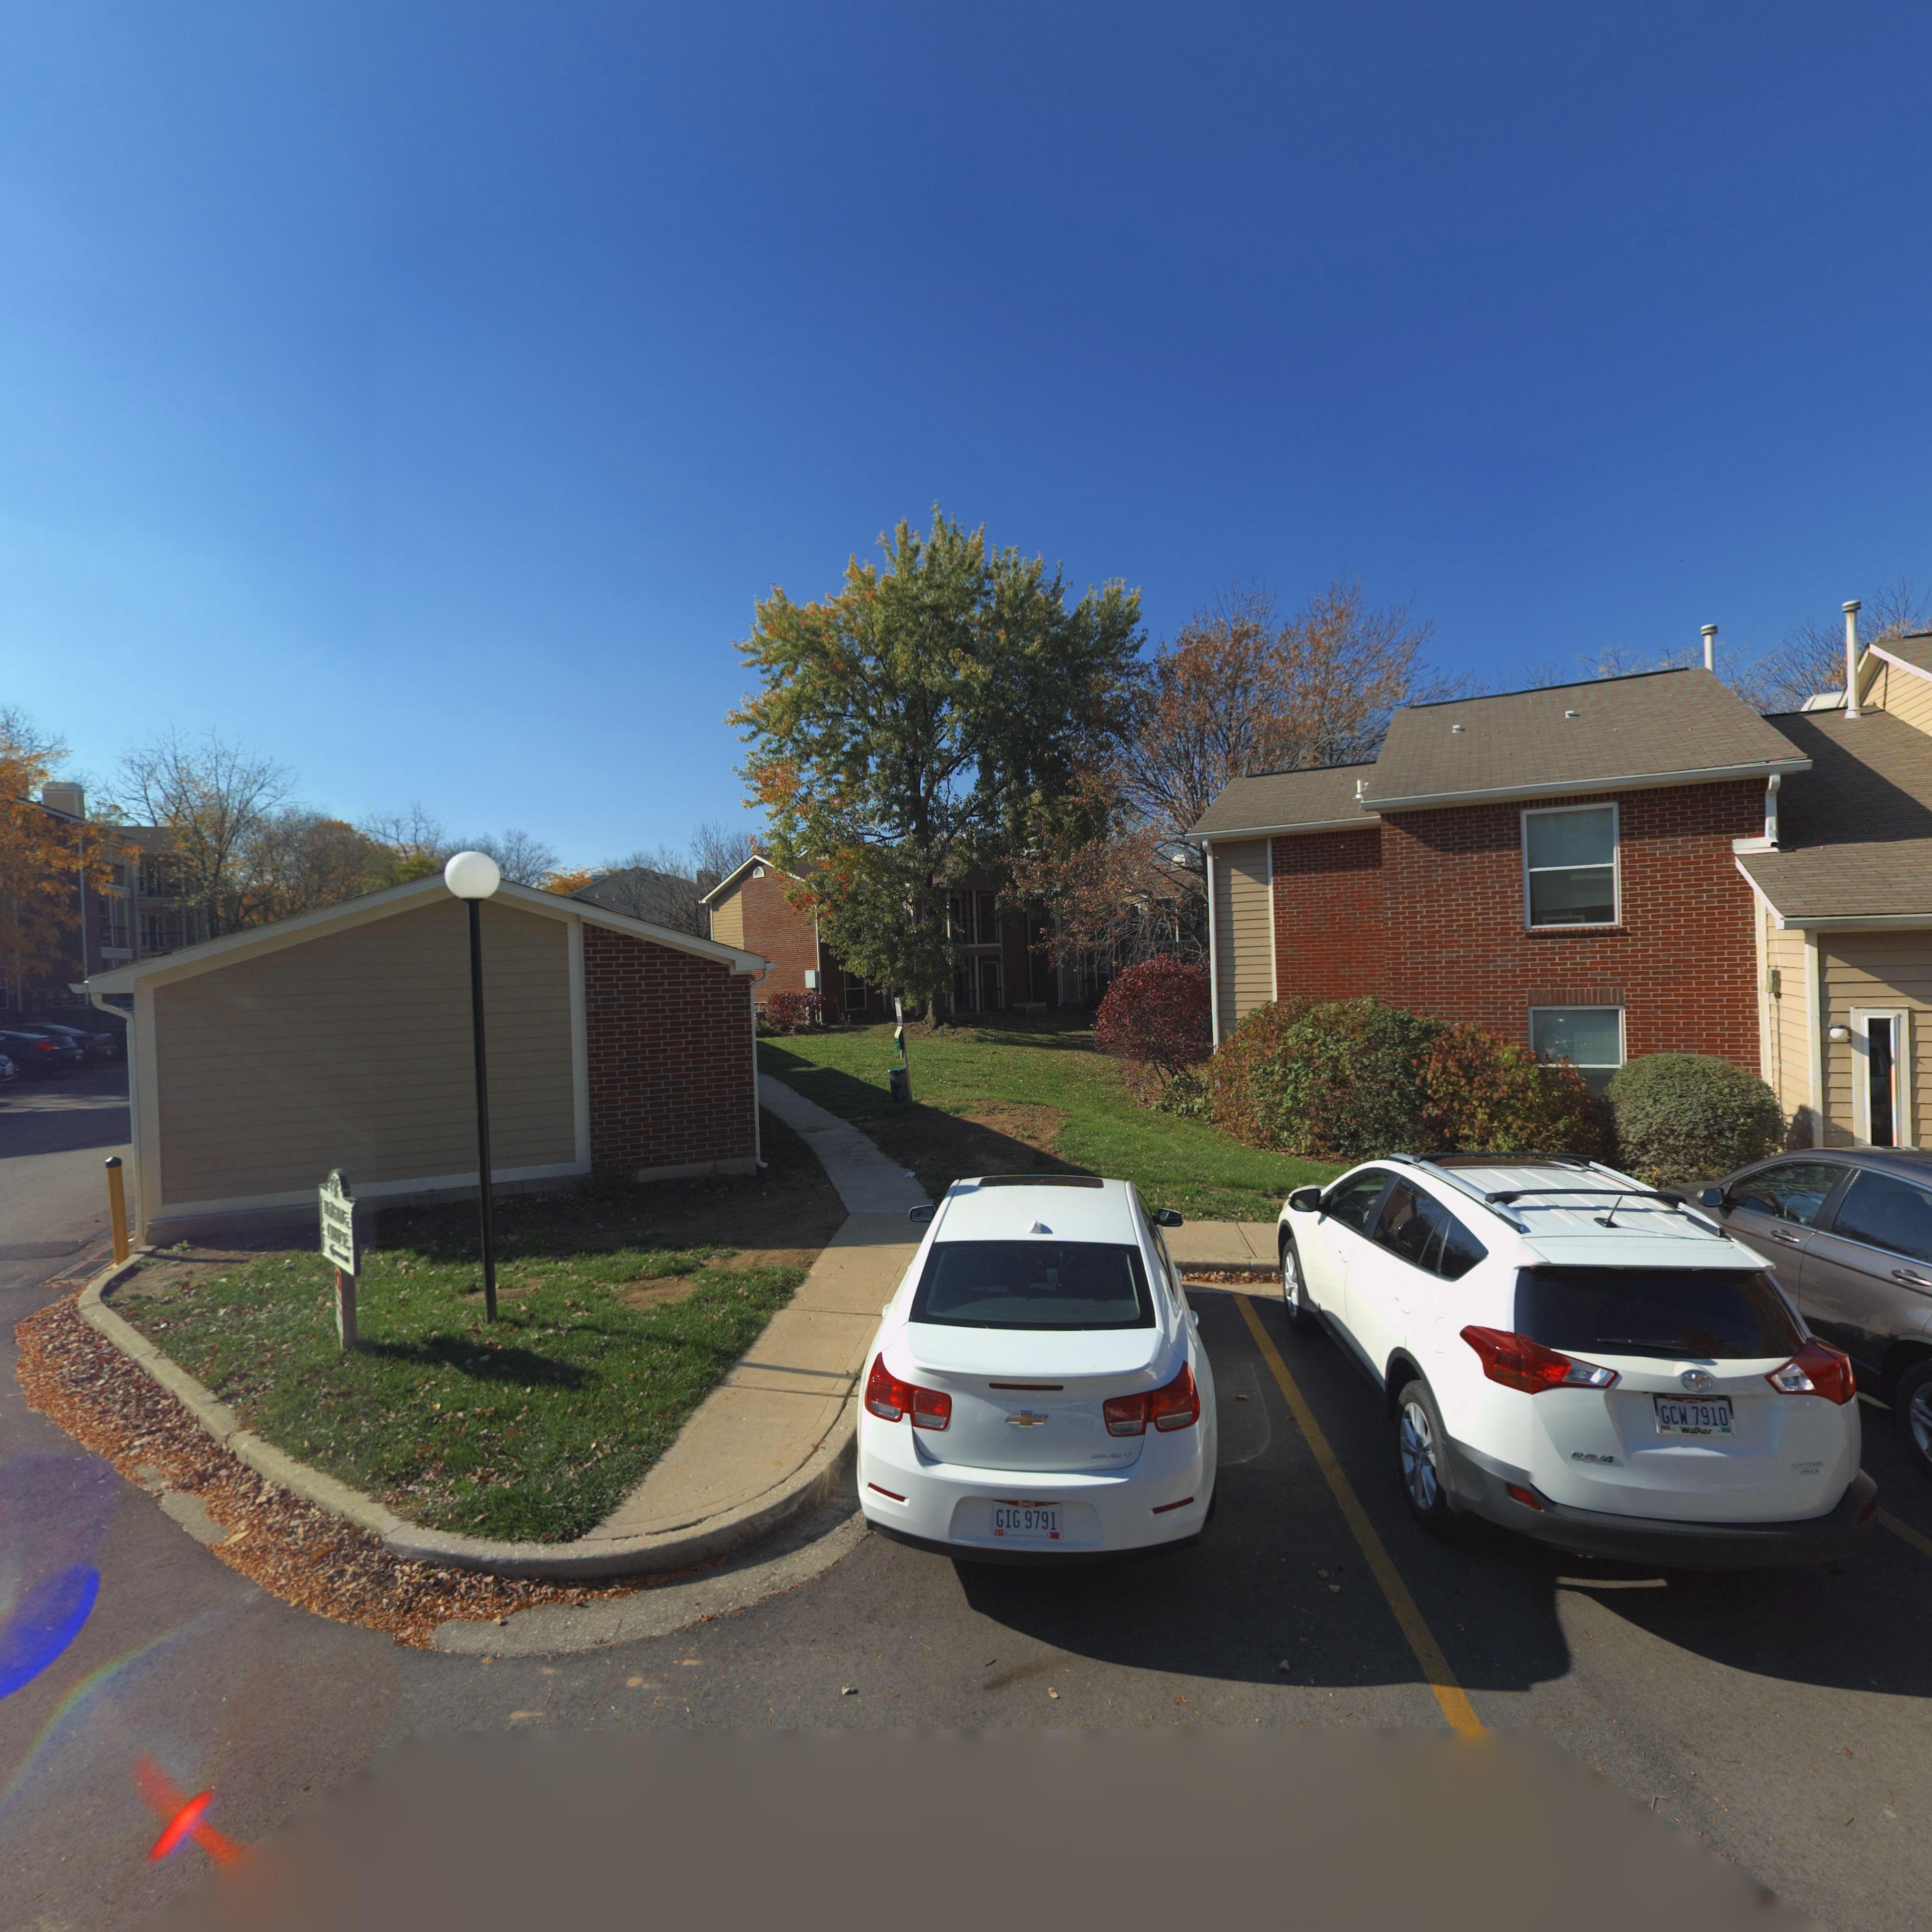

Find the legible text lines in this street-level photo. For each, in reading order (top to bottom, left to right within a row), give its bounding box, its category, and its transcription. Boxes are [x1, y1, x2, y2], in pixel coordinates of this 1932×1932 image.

[1659, 1402, 1731, 1428] None: GCW 7910
[1678, 1425, 1716, 1436] None: Walker
[1568, 1448, 1618, 1467] None: RAV4
[1016, 1499, 1036, 1508] None: OHIO
[995, 1506, 1059, 1532] None: GIG 9791